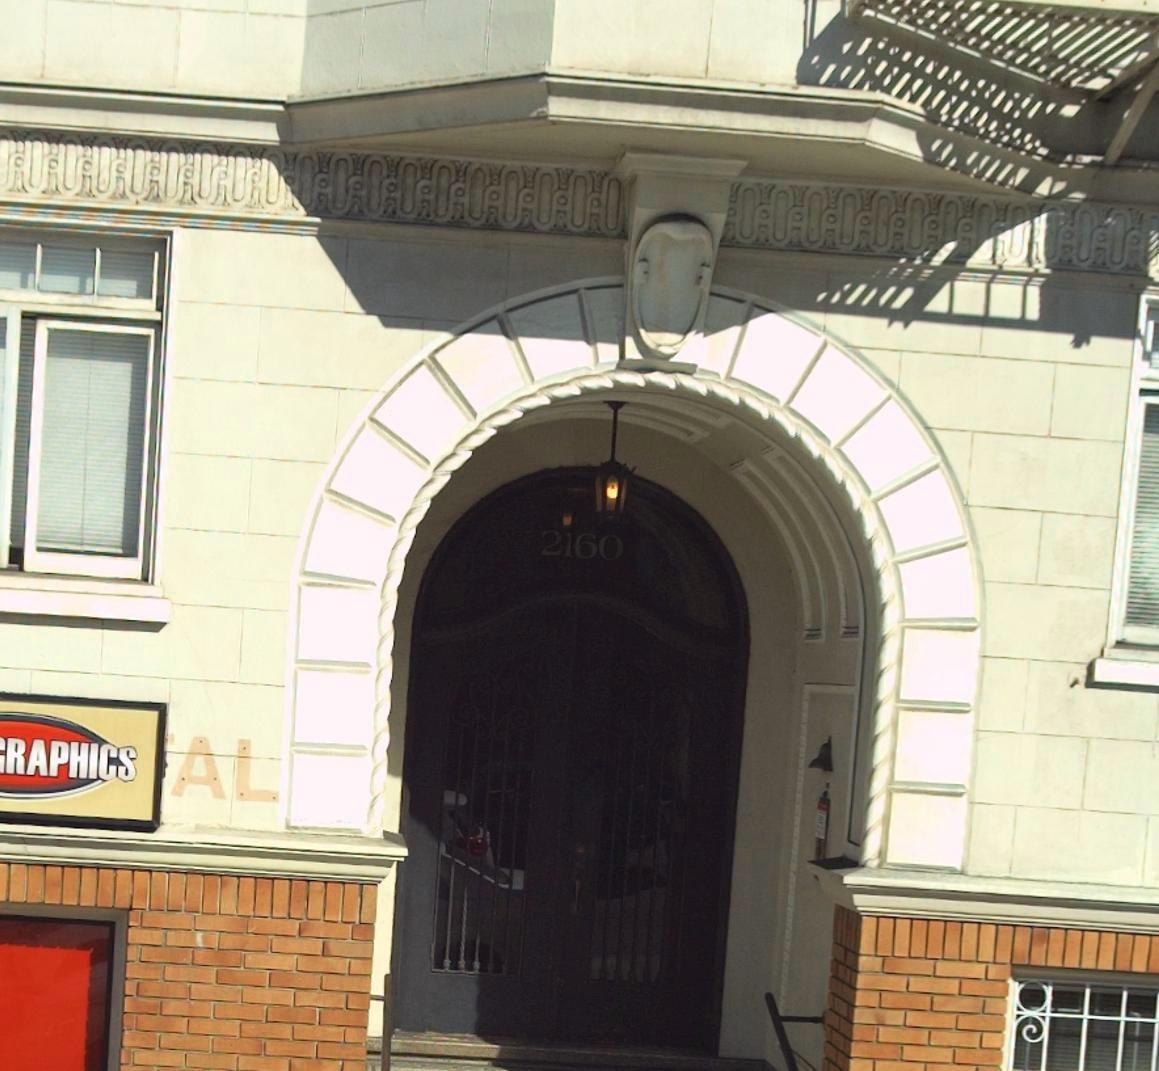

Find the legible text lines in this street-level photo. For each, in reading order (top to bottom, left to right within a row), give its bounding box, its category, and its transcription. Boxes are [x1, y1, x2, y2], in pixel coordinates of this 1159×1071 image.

[537, 527, 627, 564] StreetNumber: 2160
[4, 735, 139, 784] None: RAPHICS
[168, 732, 286, 804] None: AL